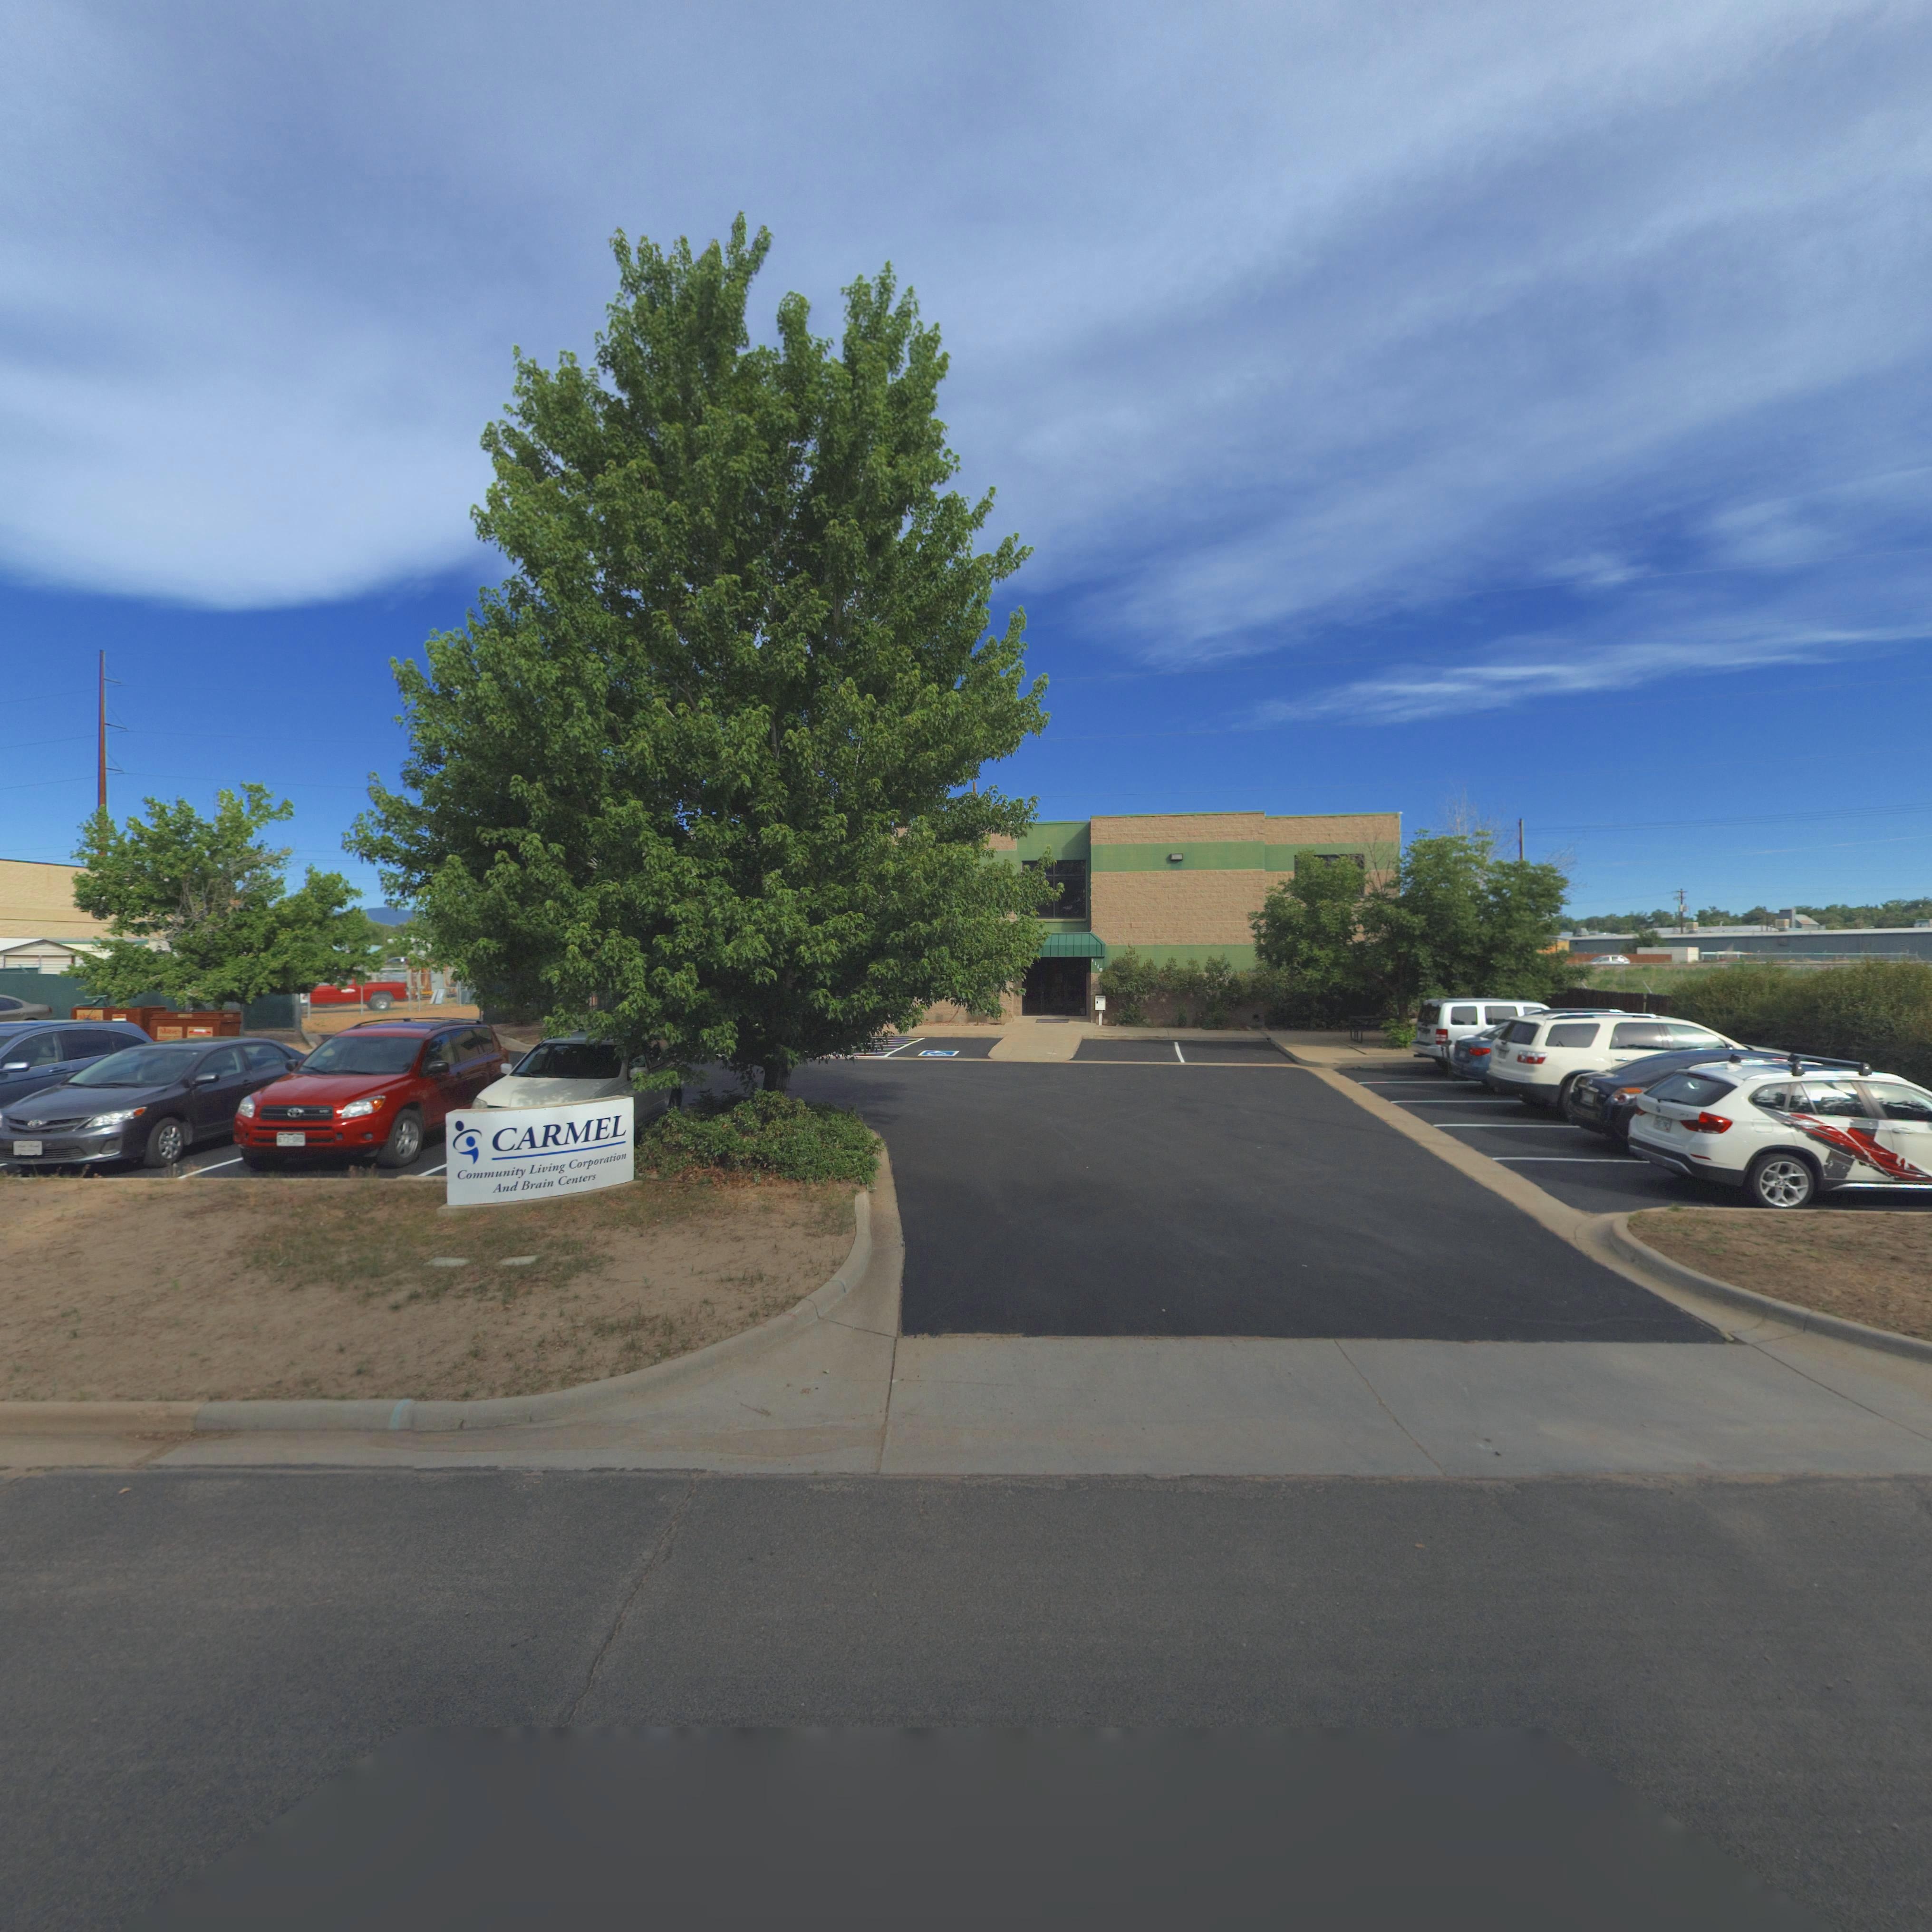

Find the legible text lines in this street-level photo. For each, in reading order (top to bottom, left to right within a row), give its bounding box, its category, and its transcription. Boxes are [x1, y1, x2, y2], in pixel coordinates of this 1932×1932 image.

[1091, 957, 1103, 972] StreetNumber: 1110
[492, 1114, 628, 1152] BusinessName: CARMEL